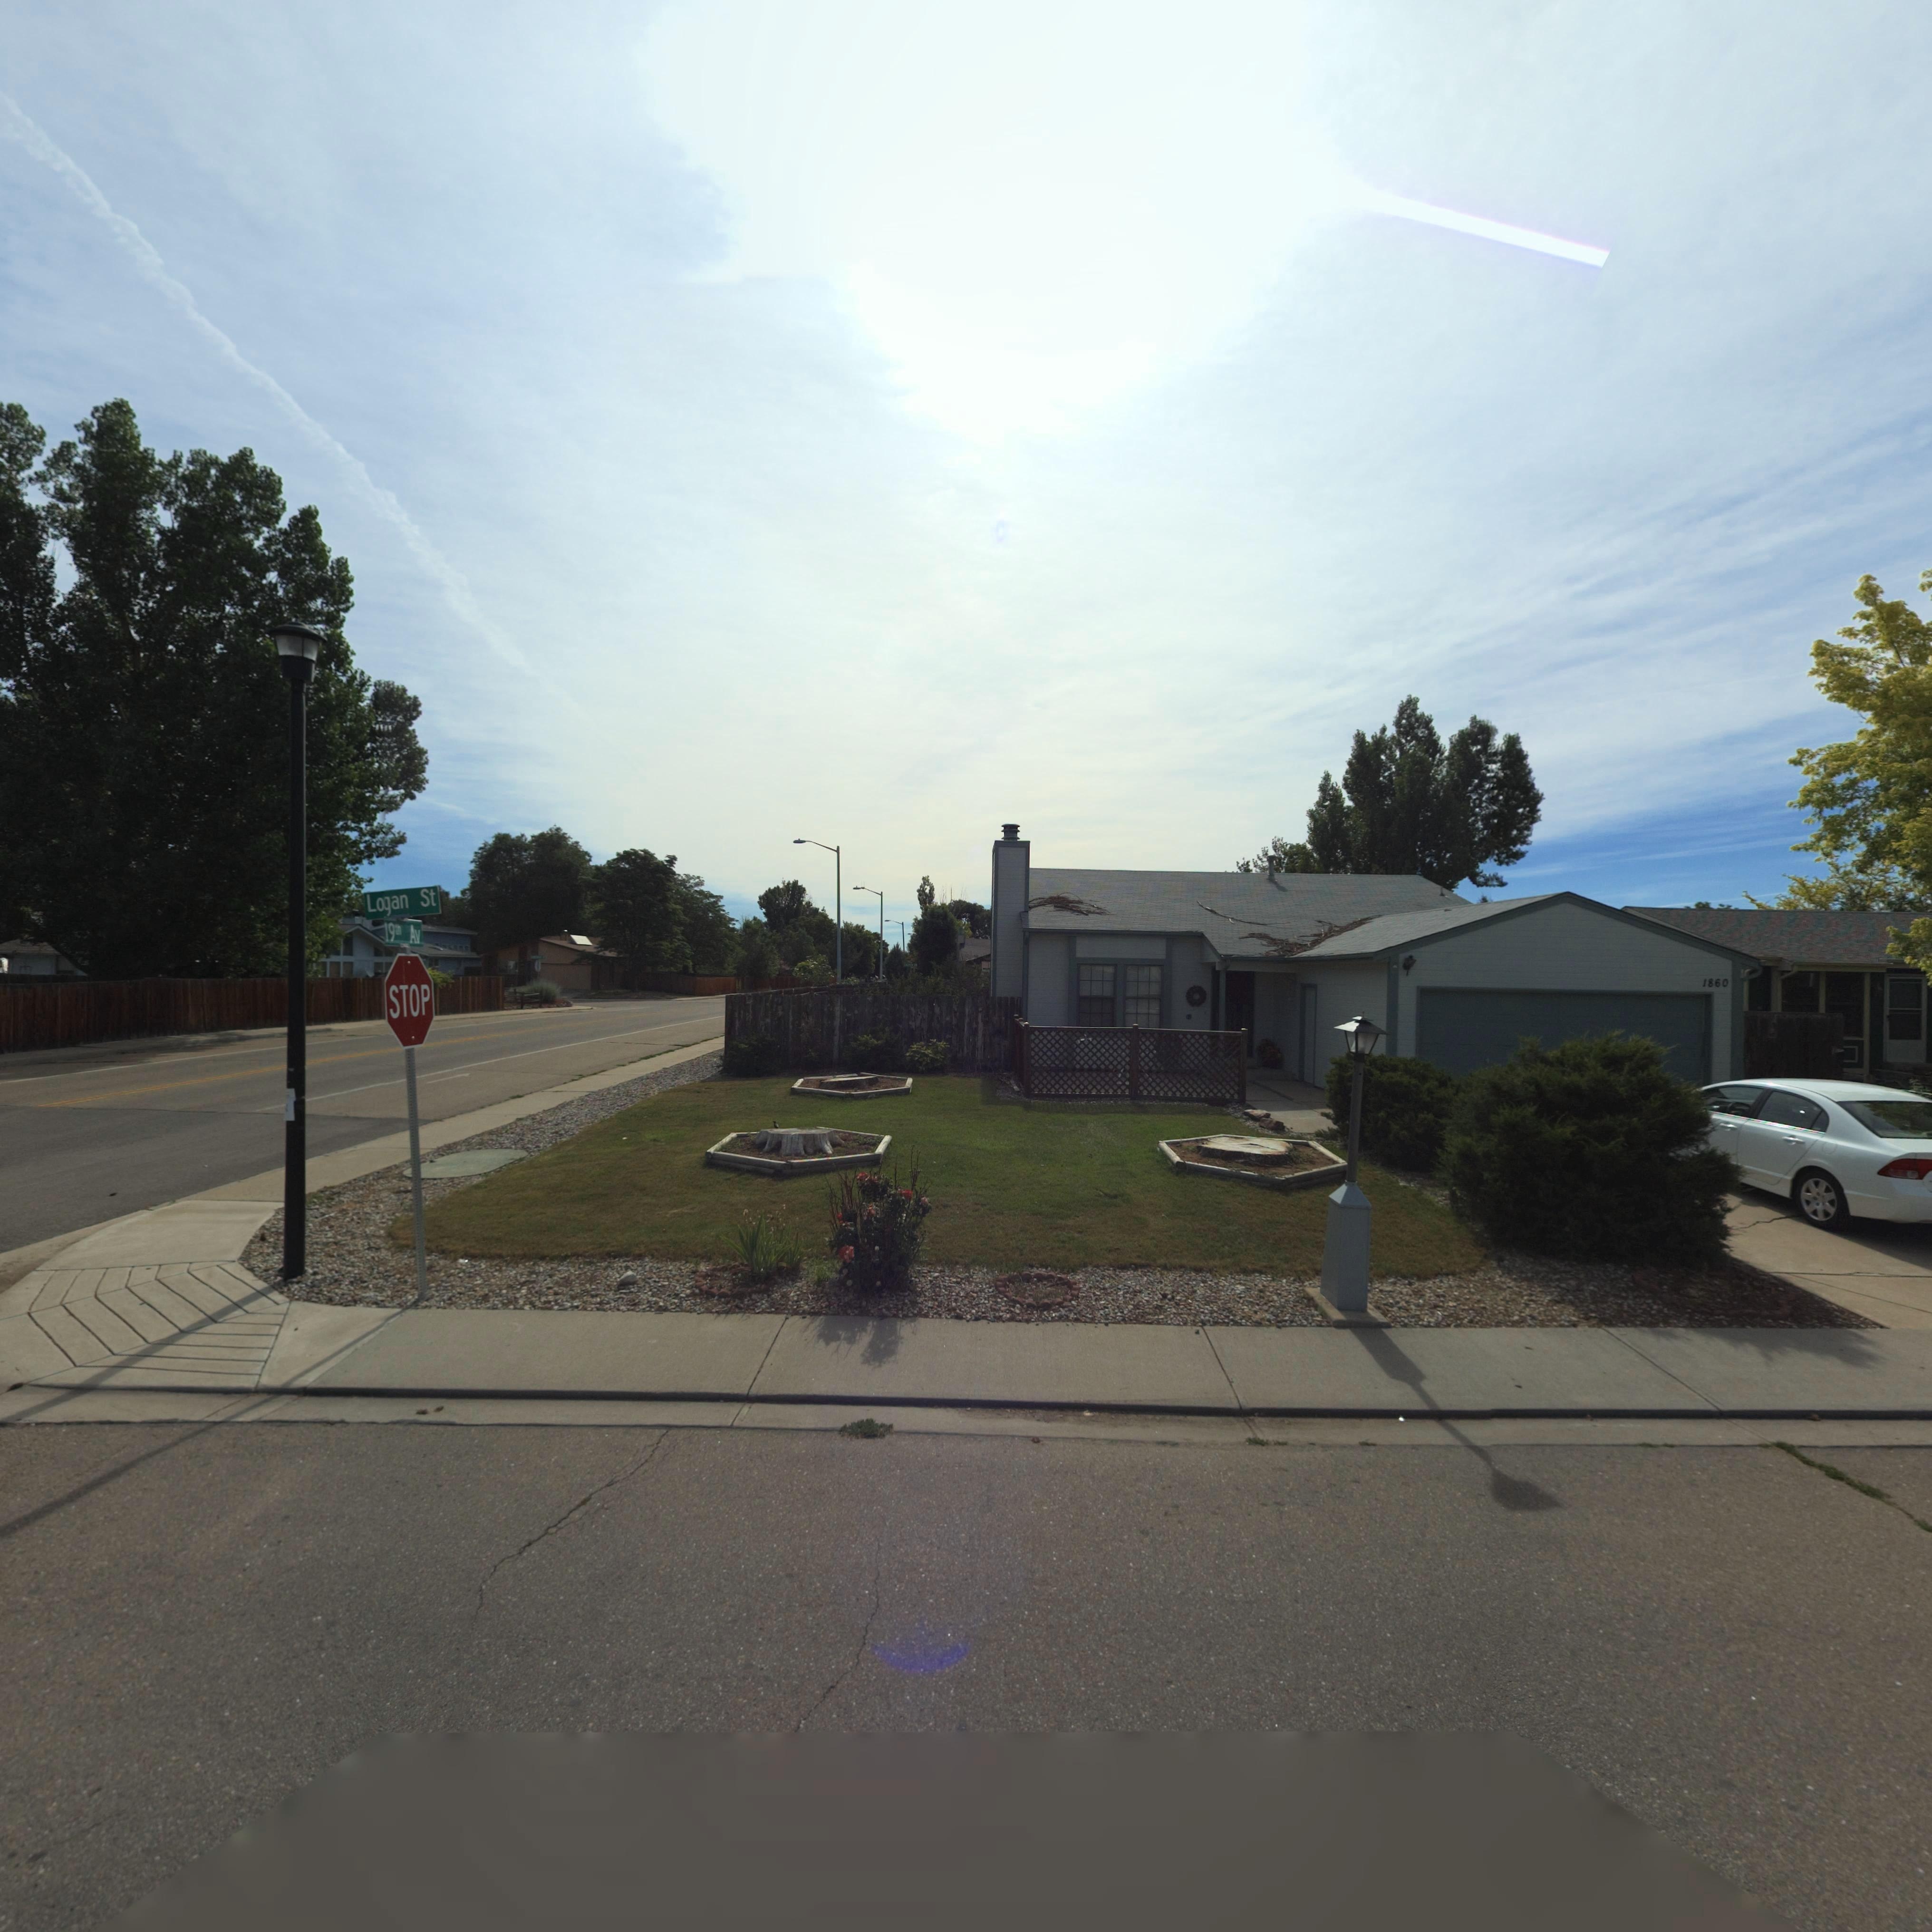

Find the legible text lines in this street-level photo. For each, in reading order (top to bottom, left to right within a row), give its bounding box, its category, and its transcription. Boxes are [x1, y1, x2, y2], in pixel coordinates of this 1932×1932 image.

[364, 888, 438, 918] StreetName: Logan St
[383, 921, 422, 944] StreetName: 19th Av
[1701, 977, 1729, 987] StreetNumber: 1860